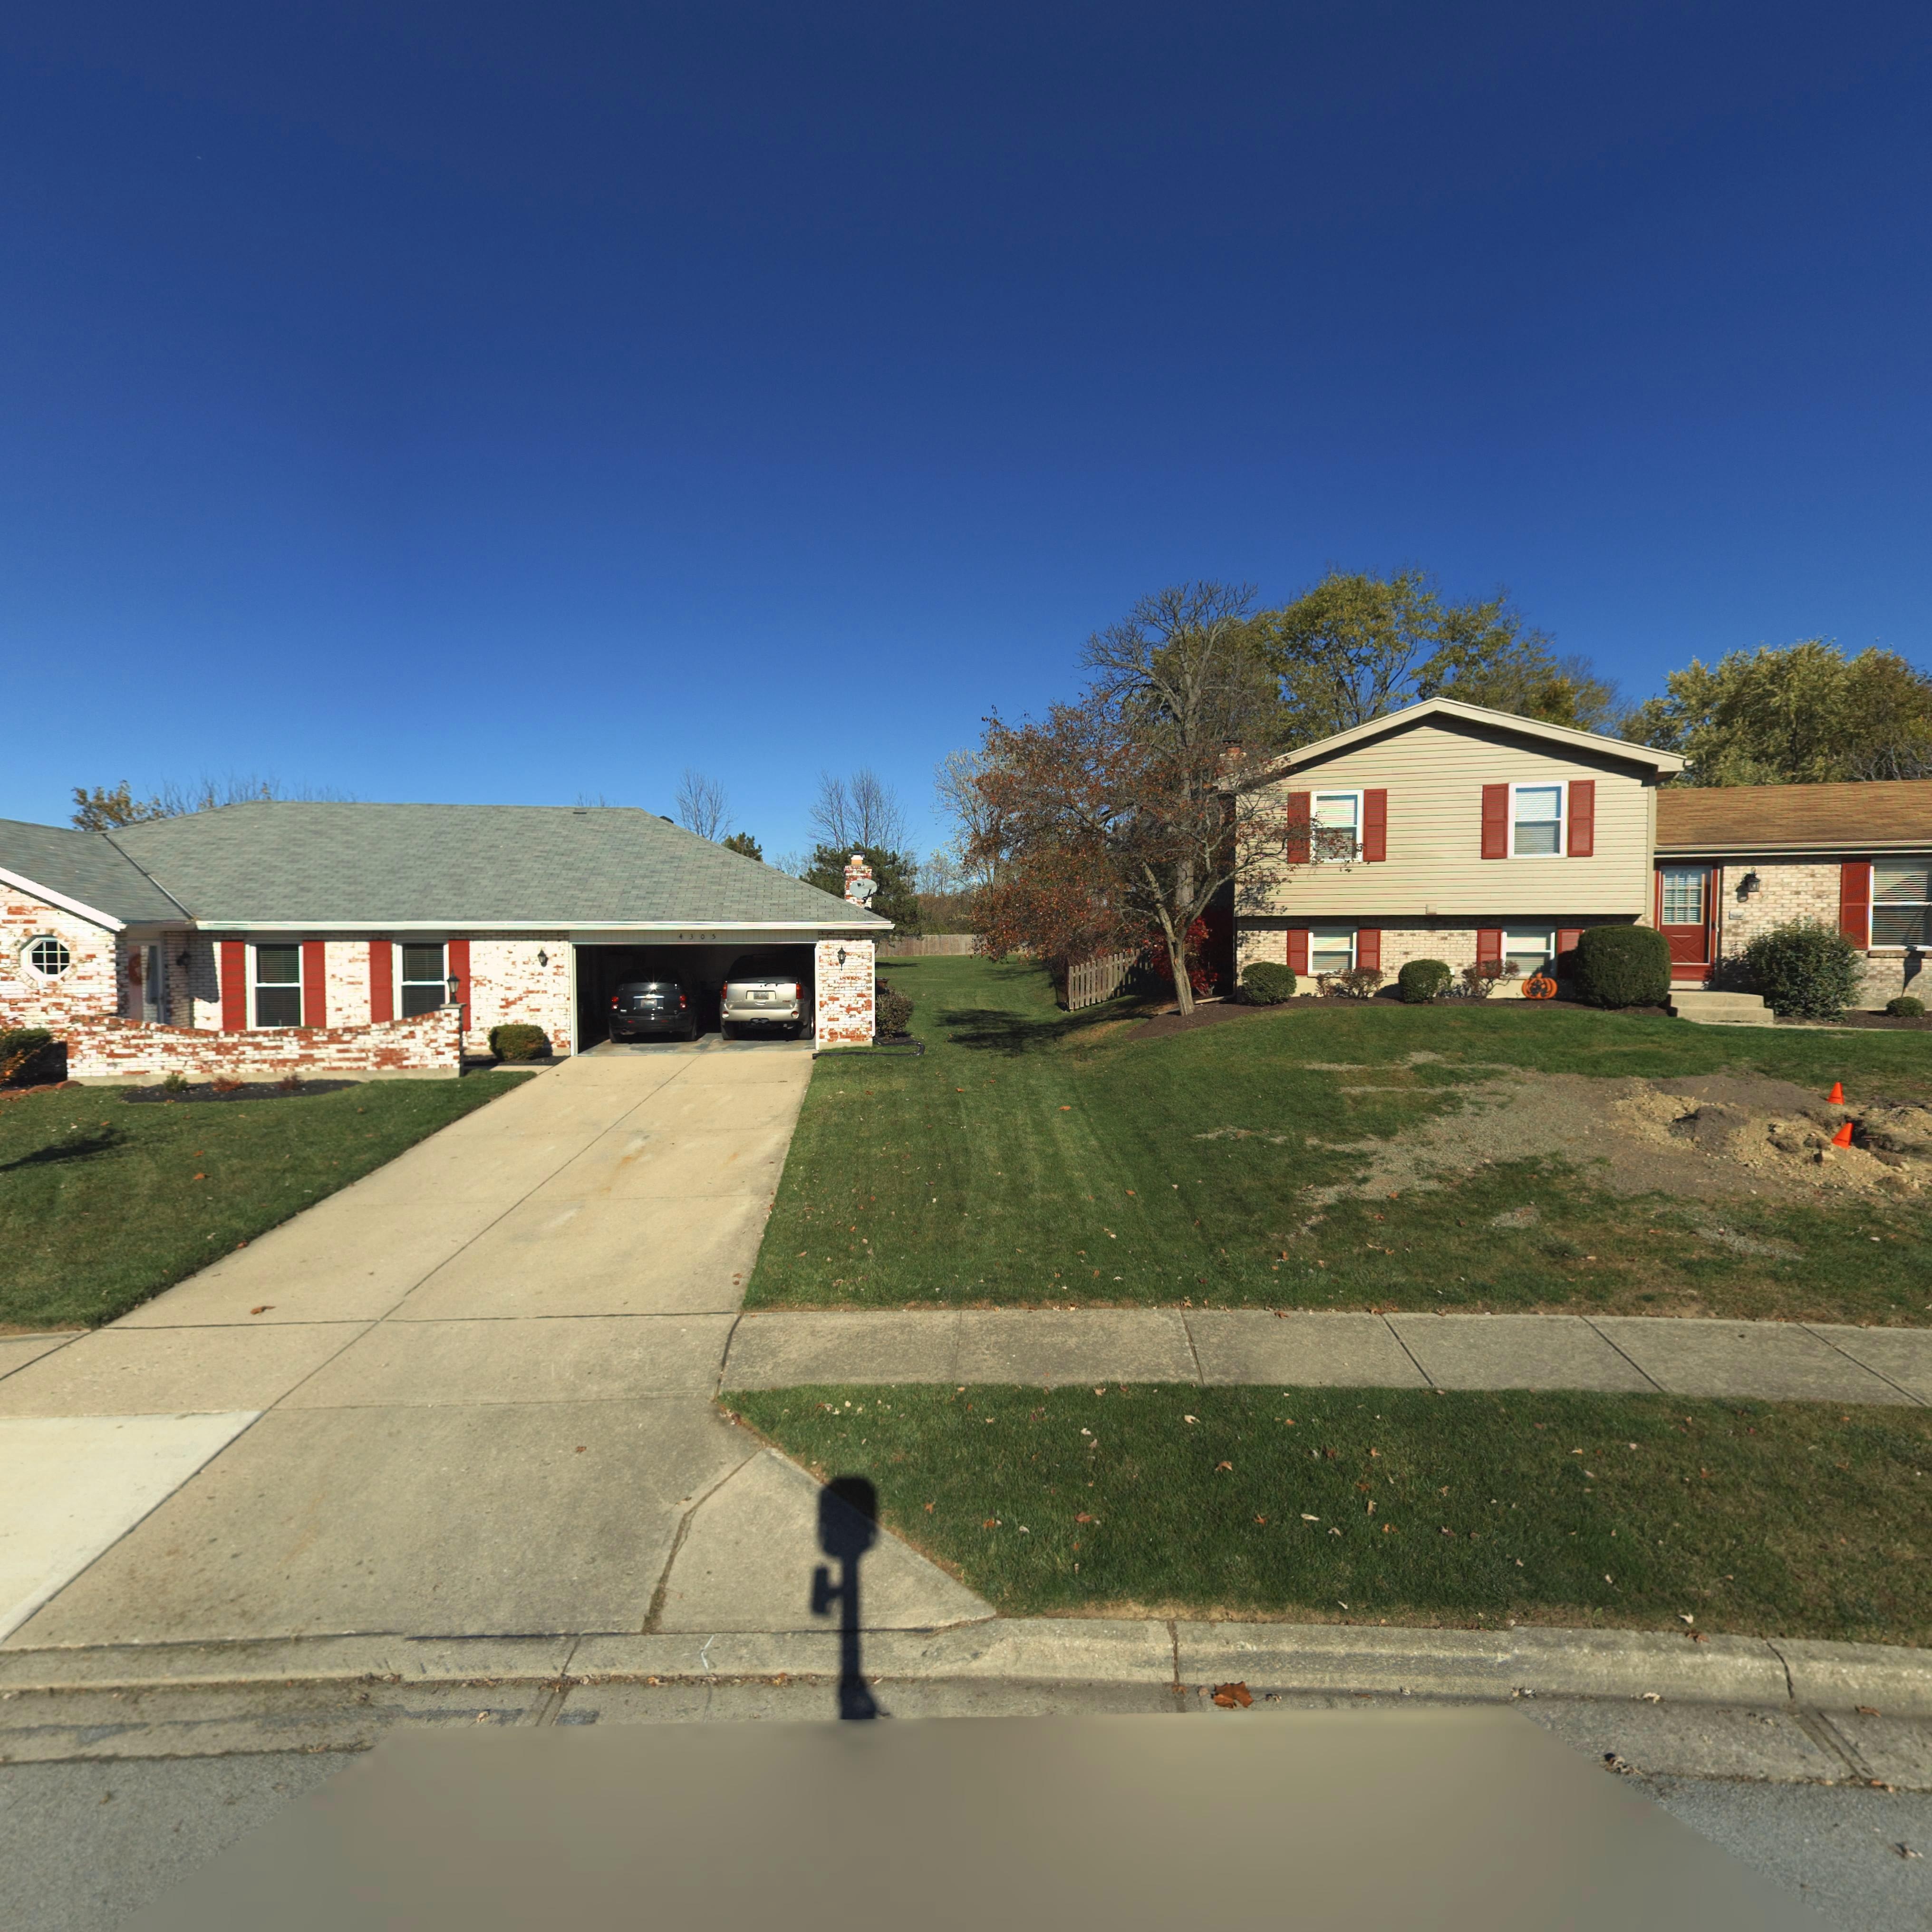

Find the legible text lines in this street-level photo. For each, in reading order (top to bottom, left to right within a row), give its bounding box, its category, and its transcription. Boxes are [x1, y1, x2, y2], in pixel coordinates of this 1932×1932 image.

[678, 933, 716, 940] StreetNumber: 4305